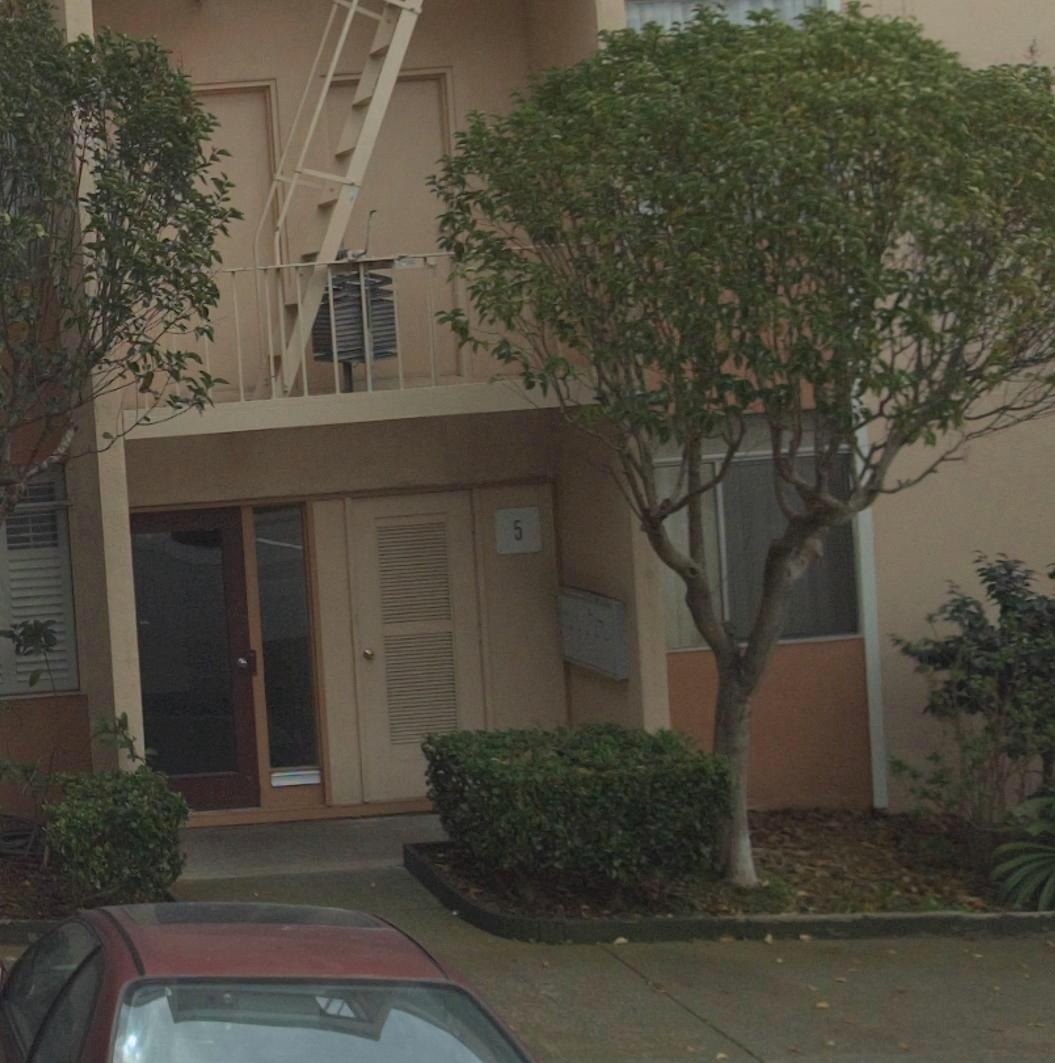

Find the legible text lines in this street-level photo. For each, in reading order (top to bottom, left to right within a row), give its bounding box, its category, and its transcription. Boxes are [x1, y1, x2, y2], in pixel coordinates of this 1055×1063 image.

[511, 517, 524, 544] StreetNumber: 5